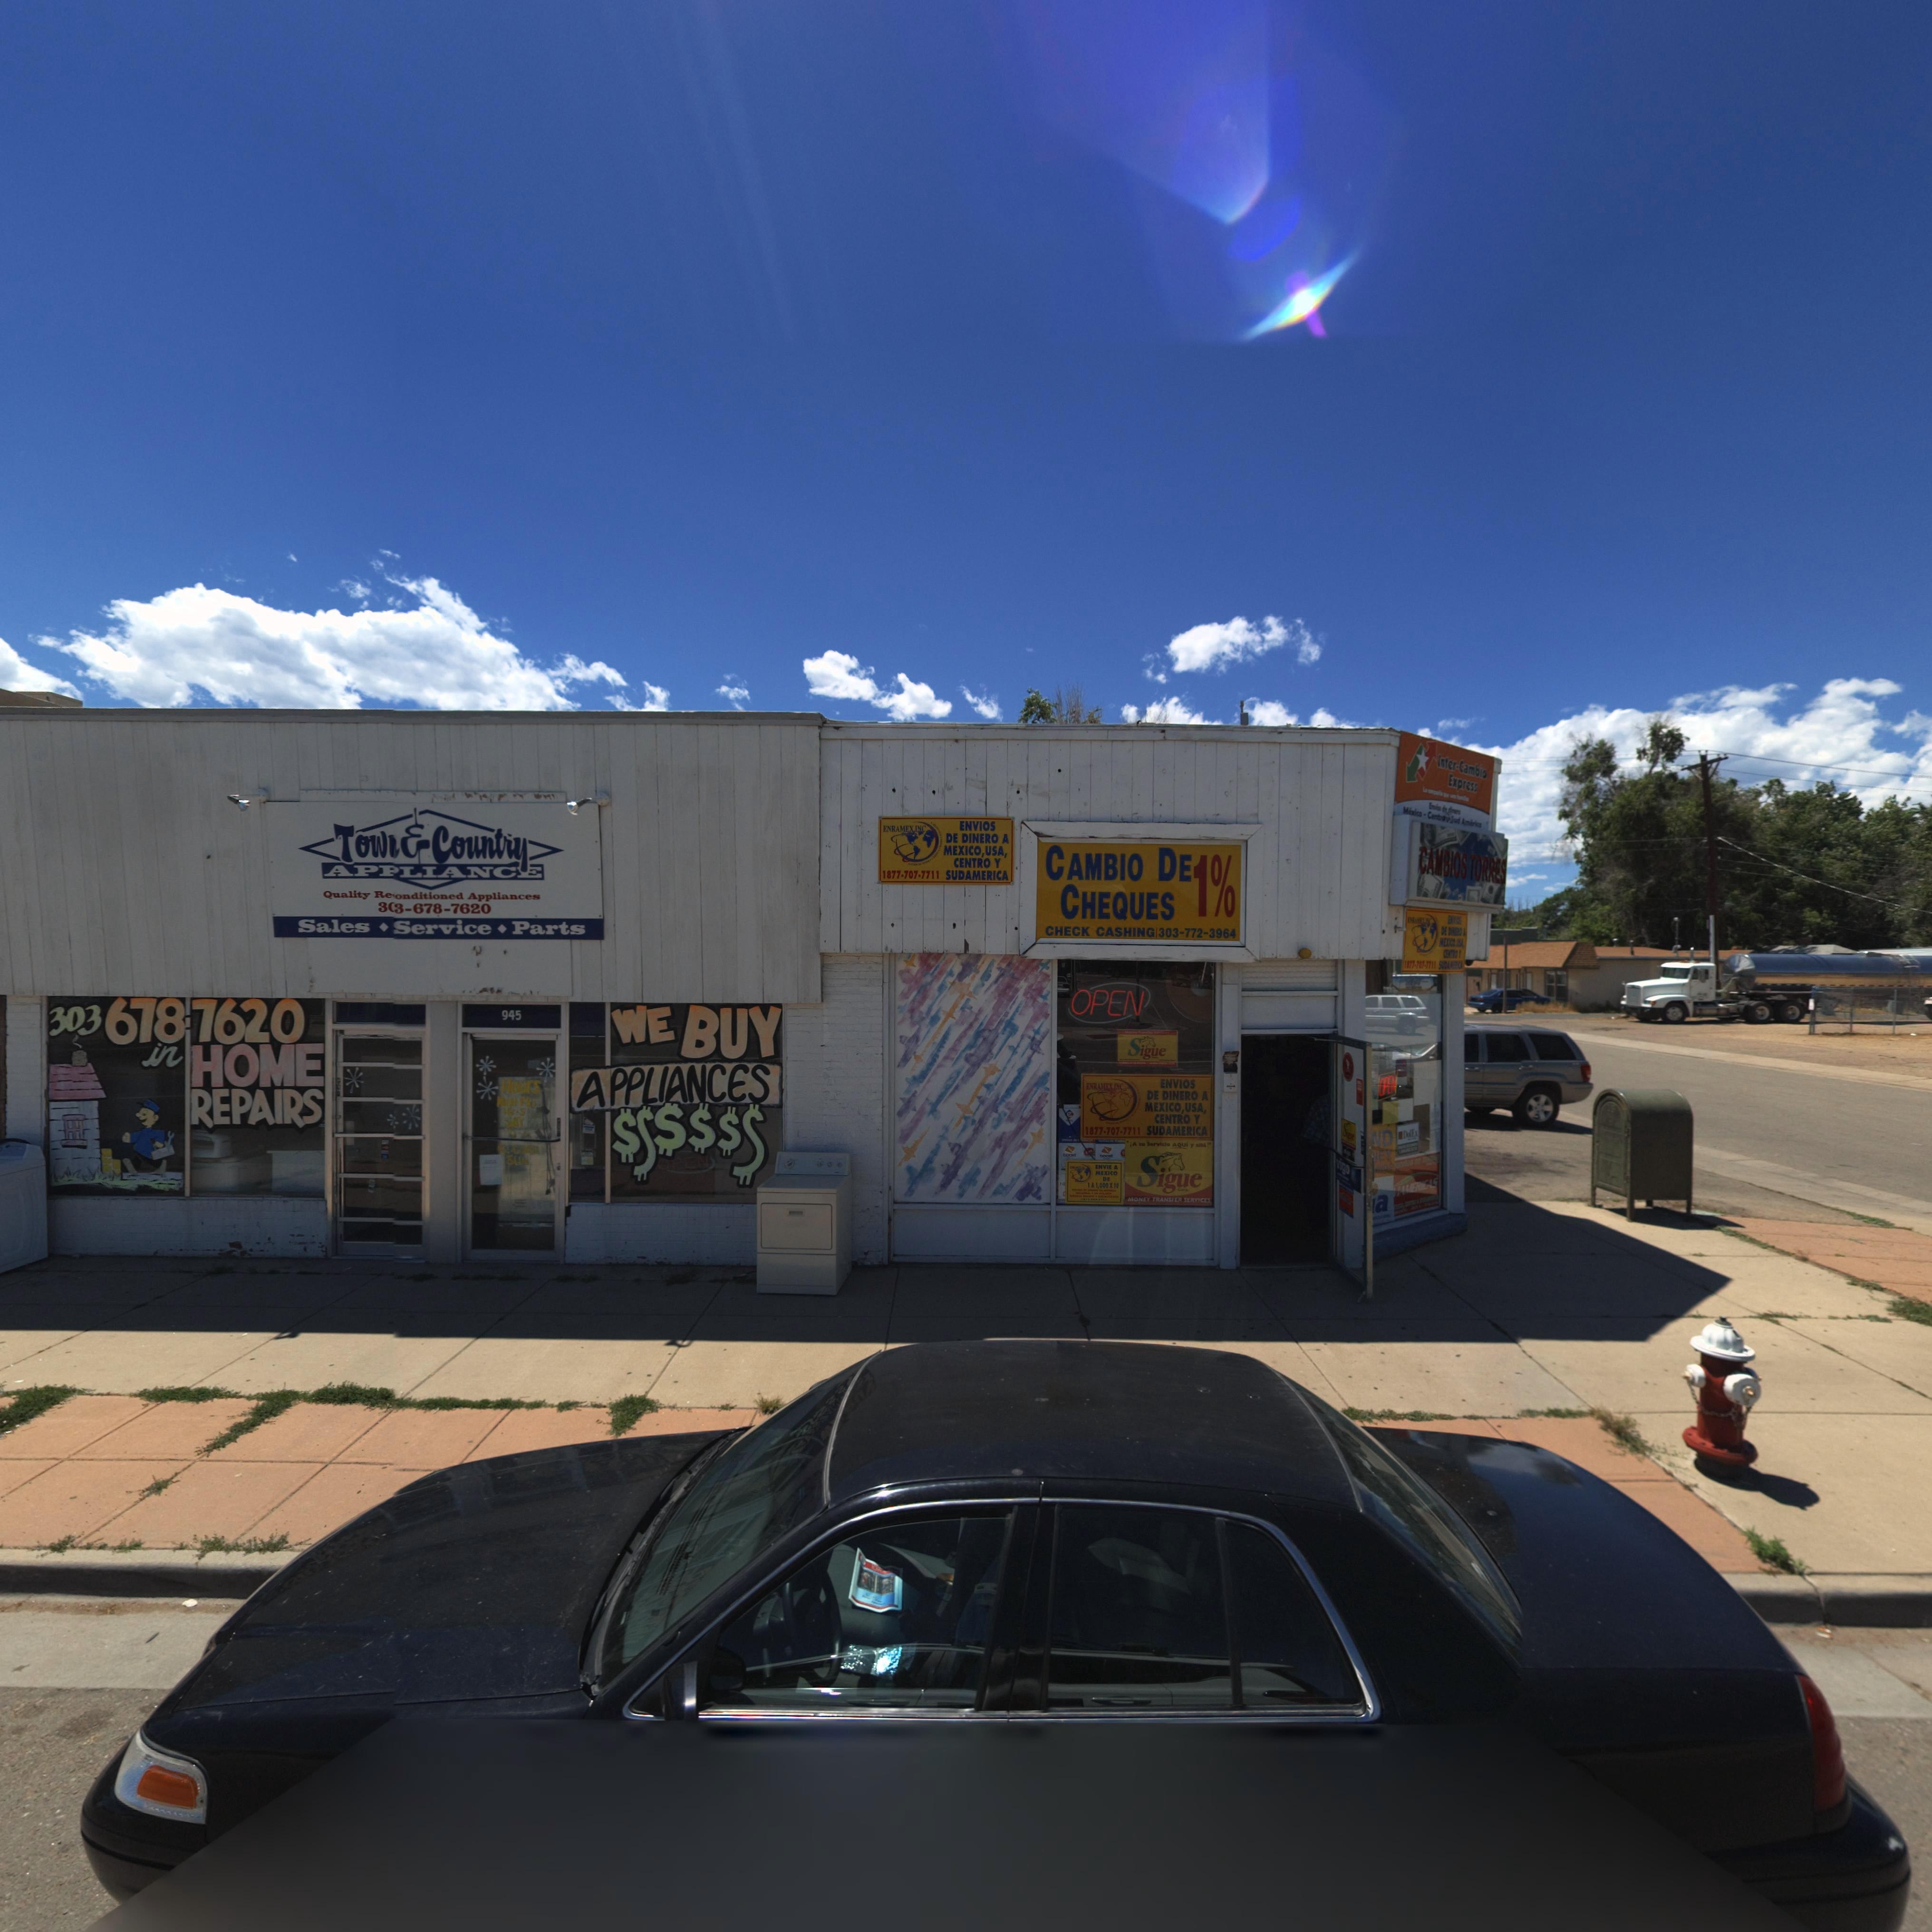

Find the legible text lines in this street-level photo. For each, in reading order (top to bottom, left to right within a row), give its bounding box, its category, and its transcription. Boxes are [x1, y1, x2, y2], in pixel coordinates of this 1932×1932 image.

[332, 807, 528, 872] BusinessName: Tow* * Country
[323, 864, 542, 878] BusinessName: APPLIANCE
[1419, 846, 1507, 884] BusinessName: CAMBRIOS TORRES
[502, 1010, 522, 1020] StreetNumber: 945